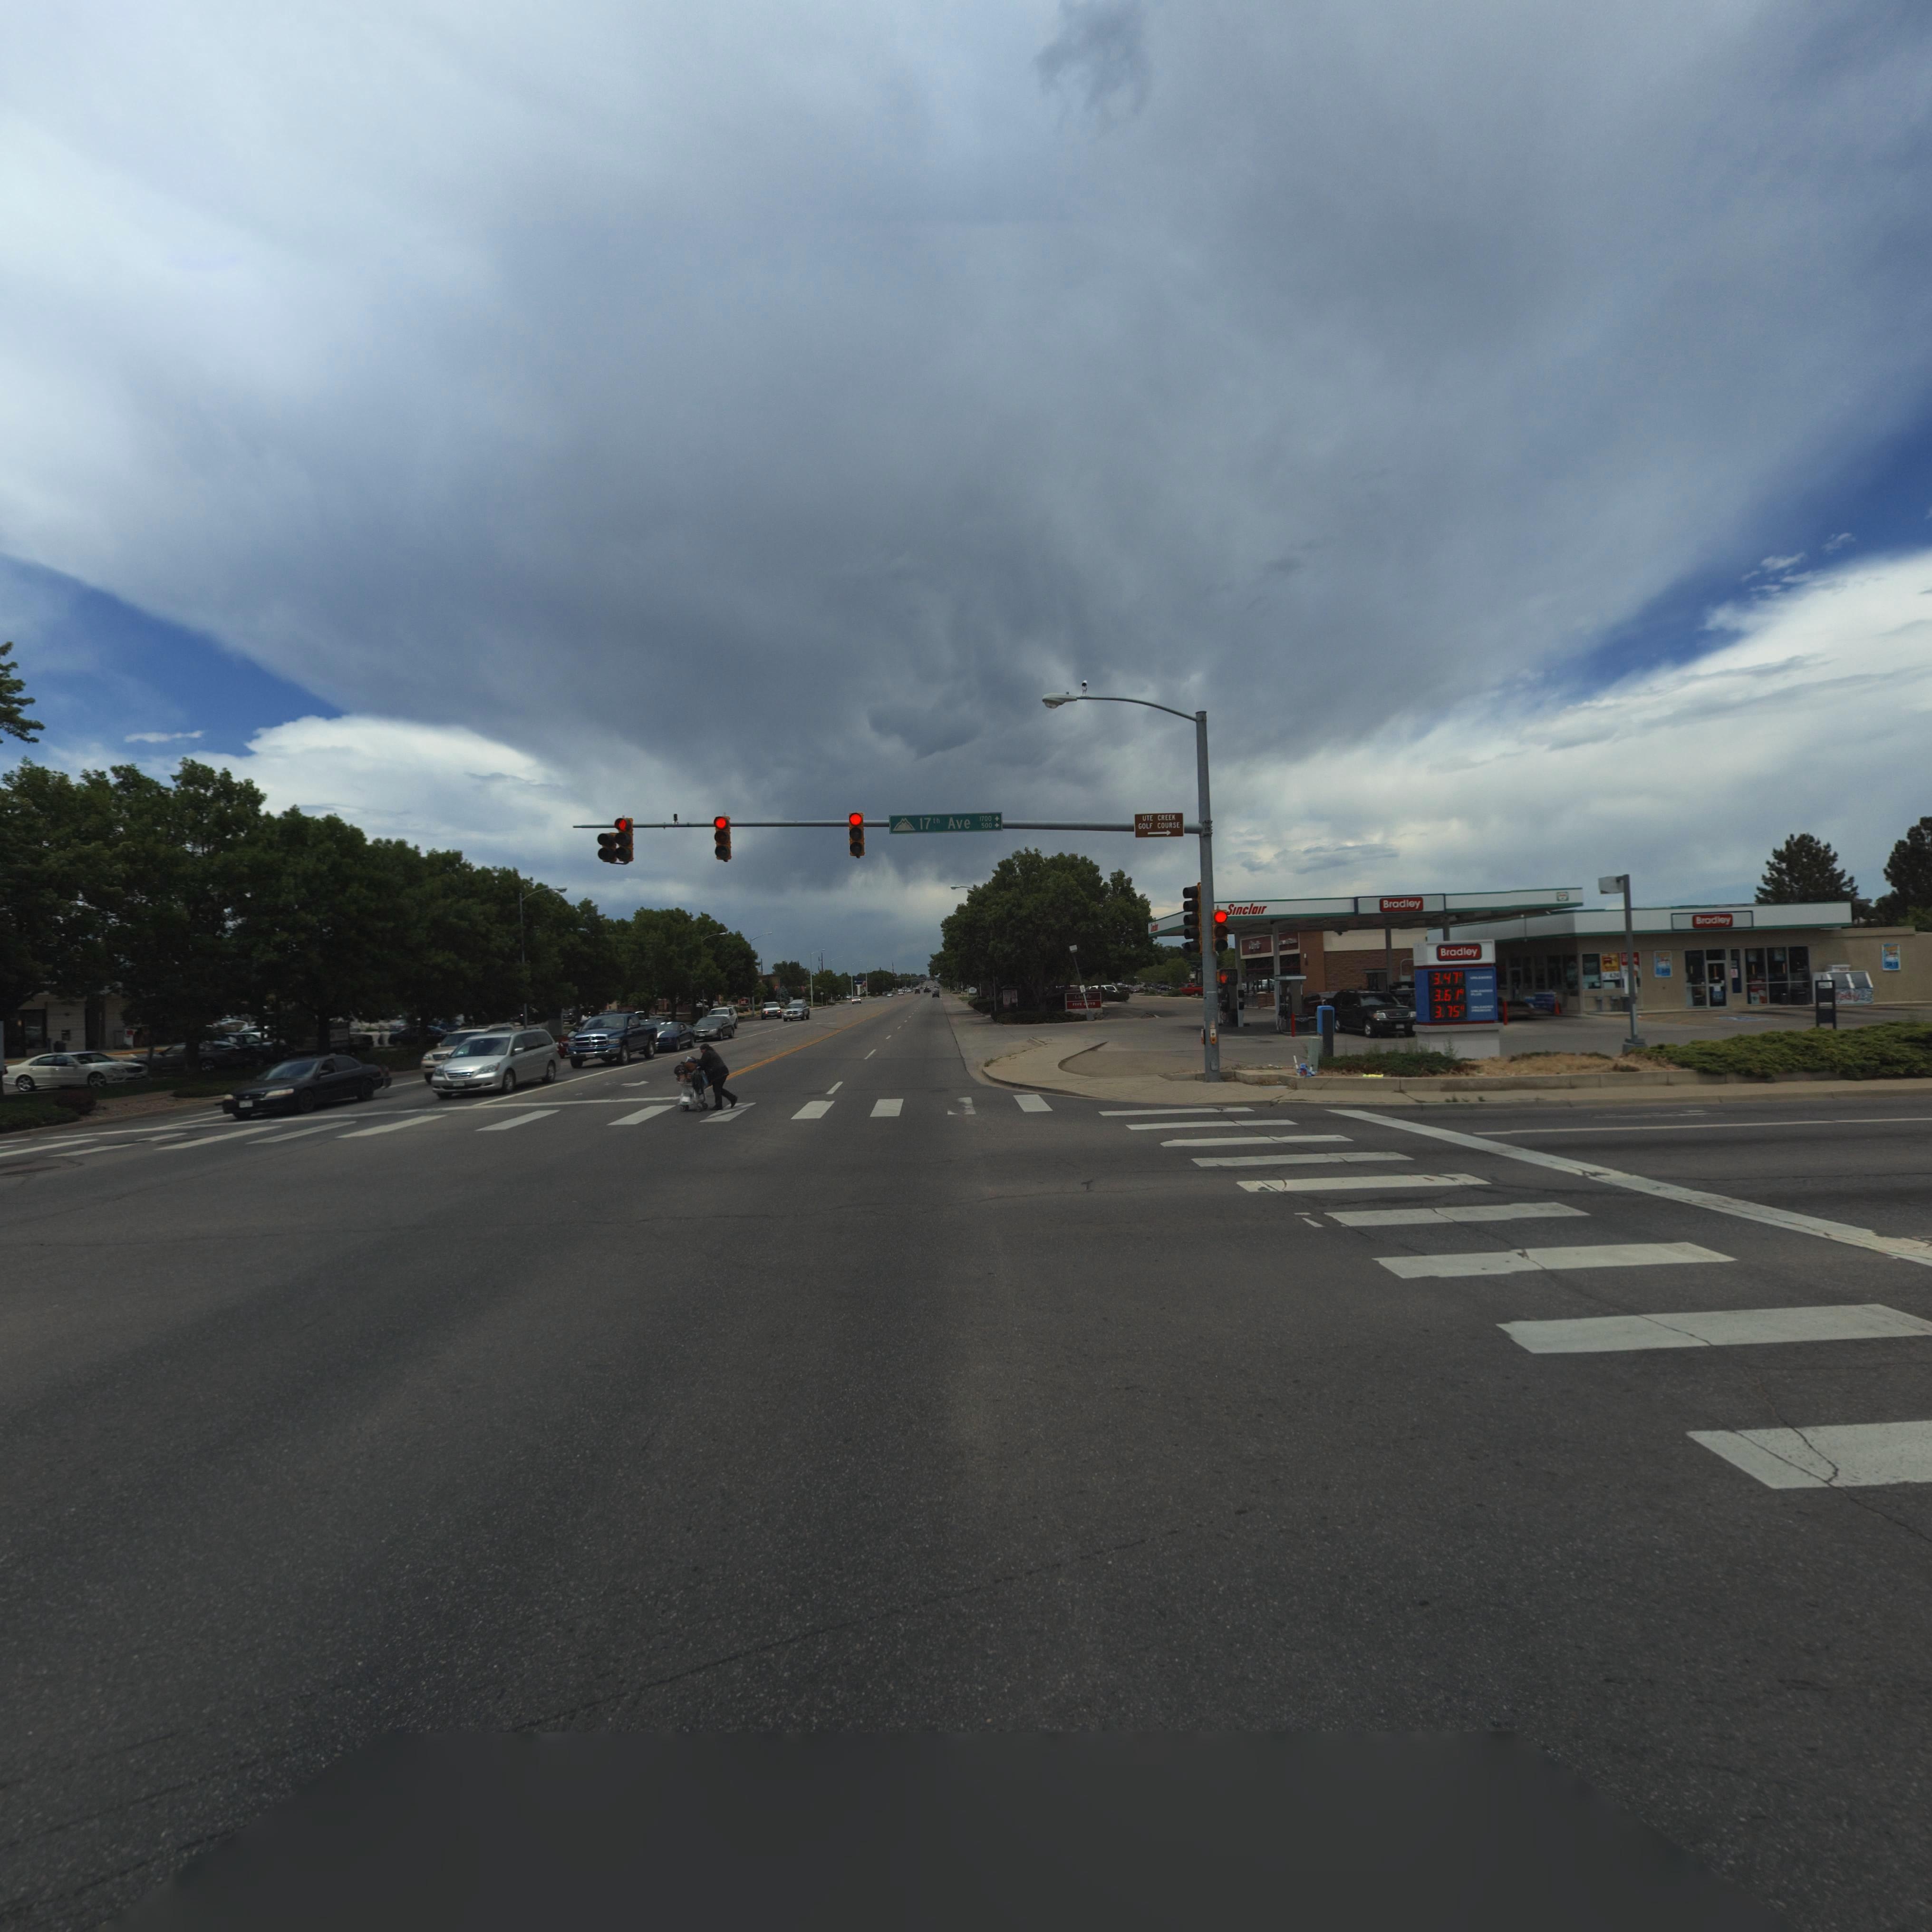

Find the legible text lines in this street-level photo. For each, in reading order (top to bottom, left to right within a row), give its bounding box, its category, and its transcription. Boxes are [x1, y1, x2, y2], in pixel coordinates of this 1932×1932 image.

[918, 816, 970, 830] StreetName: 17th Ave
[979, 815, 992, 822] StreetNumberRange: 1700
[981, 822, 1000, 829] StreetNumberRange: 500->
[1226, 902, 1267, 915] BusinessName: SInclaIr
[1382, 898, 1421, 910] BusinessName: Bradley
[1695, 915, 1731, 926] BusinessName: Bradley
[1440, 947, 1478, 957] BusinessName: Bradley
[1074, 993, 1092, 1001] BusinessName: C*******
[1072, 1001, 1095, 1006] BusinessName: **V* ****